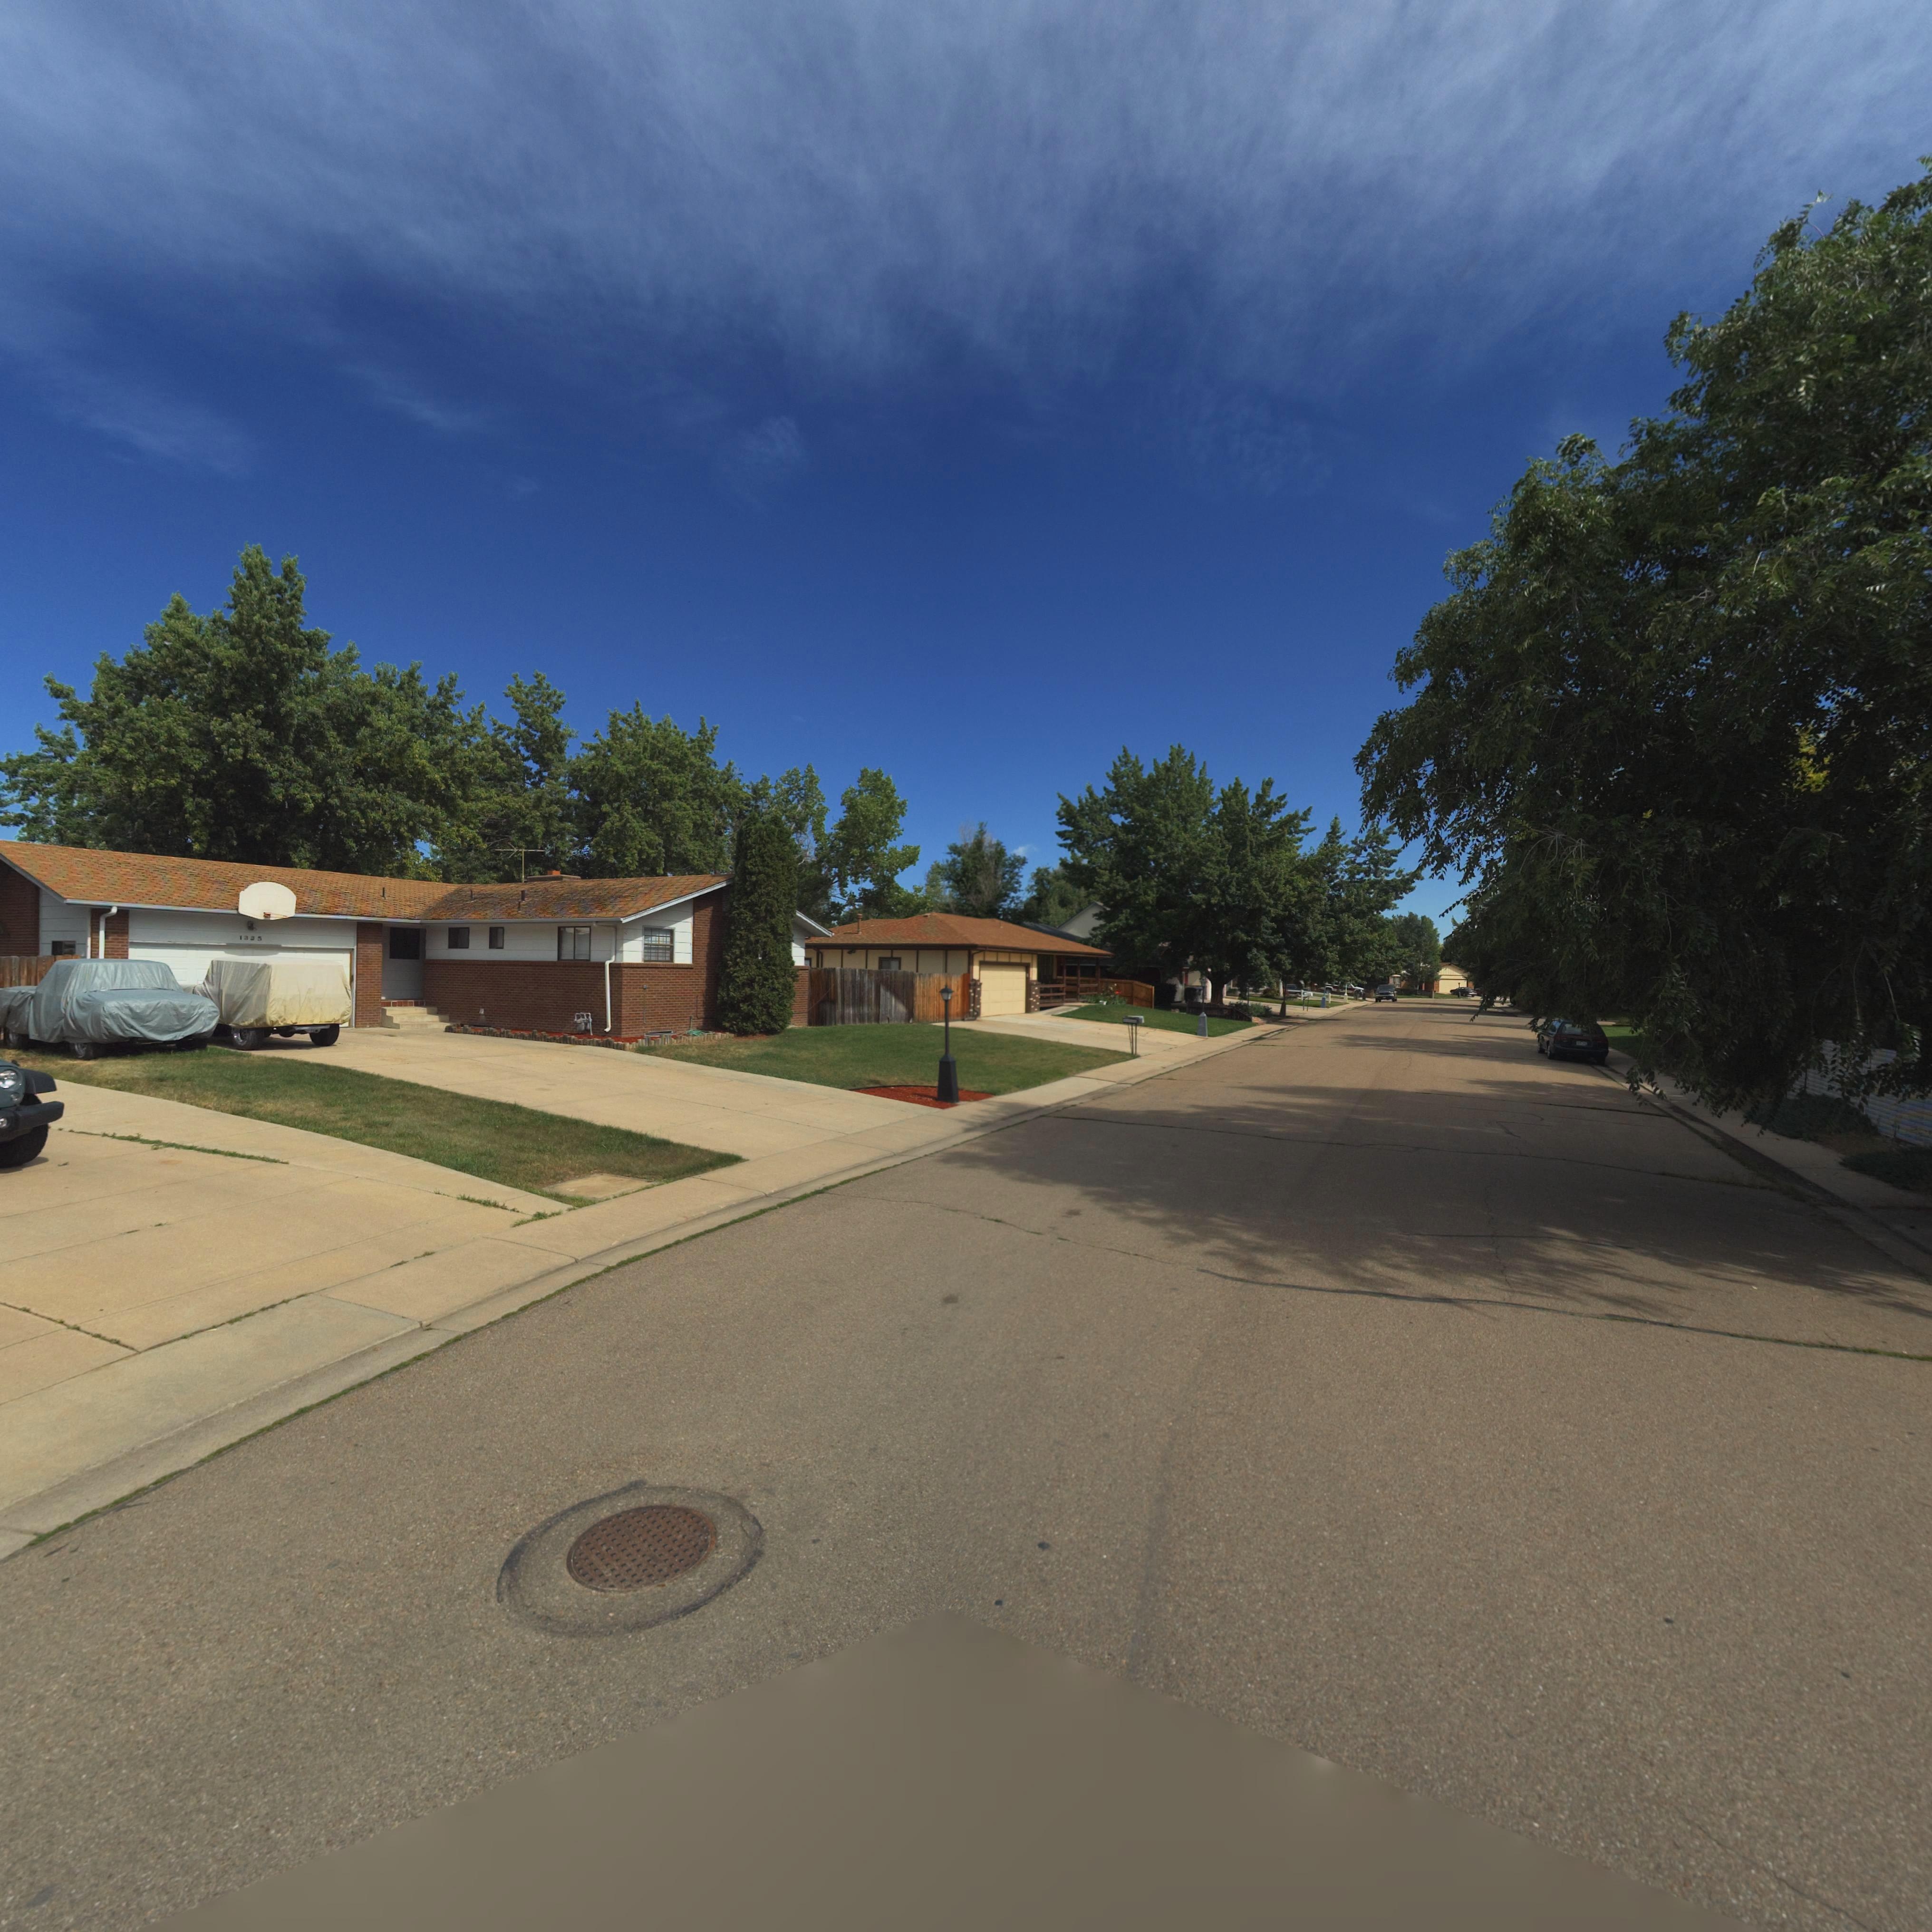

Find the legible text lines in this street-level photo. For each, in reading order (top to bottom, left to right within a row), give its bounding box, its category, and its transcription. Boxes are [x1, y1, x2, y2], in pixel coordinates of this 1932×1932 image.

[239, 935, 262, 941] StreetNumber: 13*5